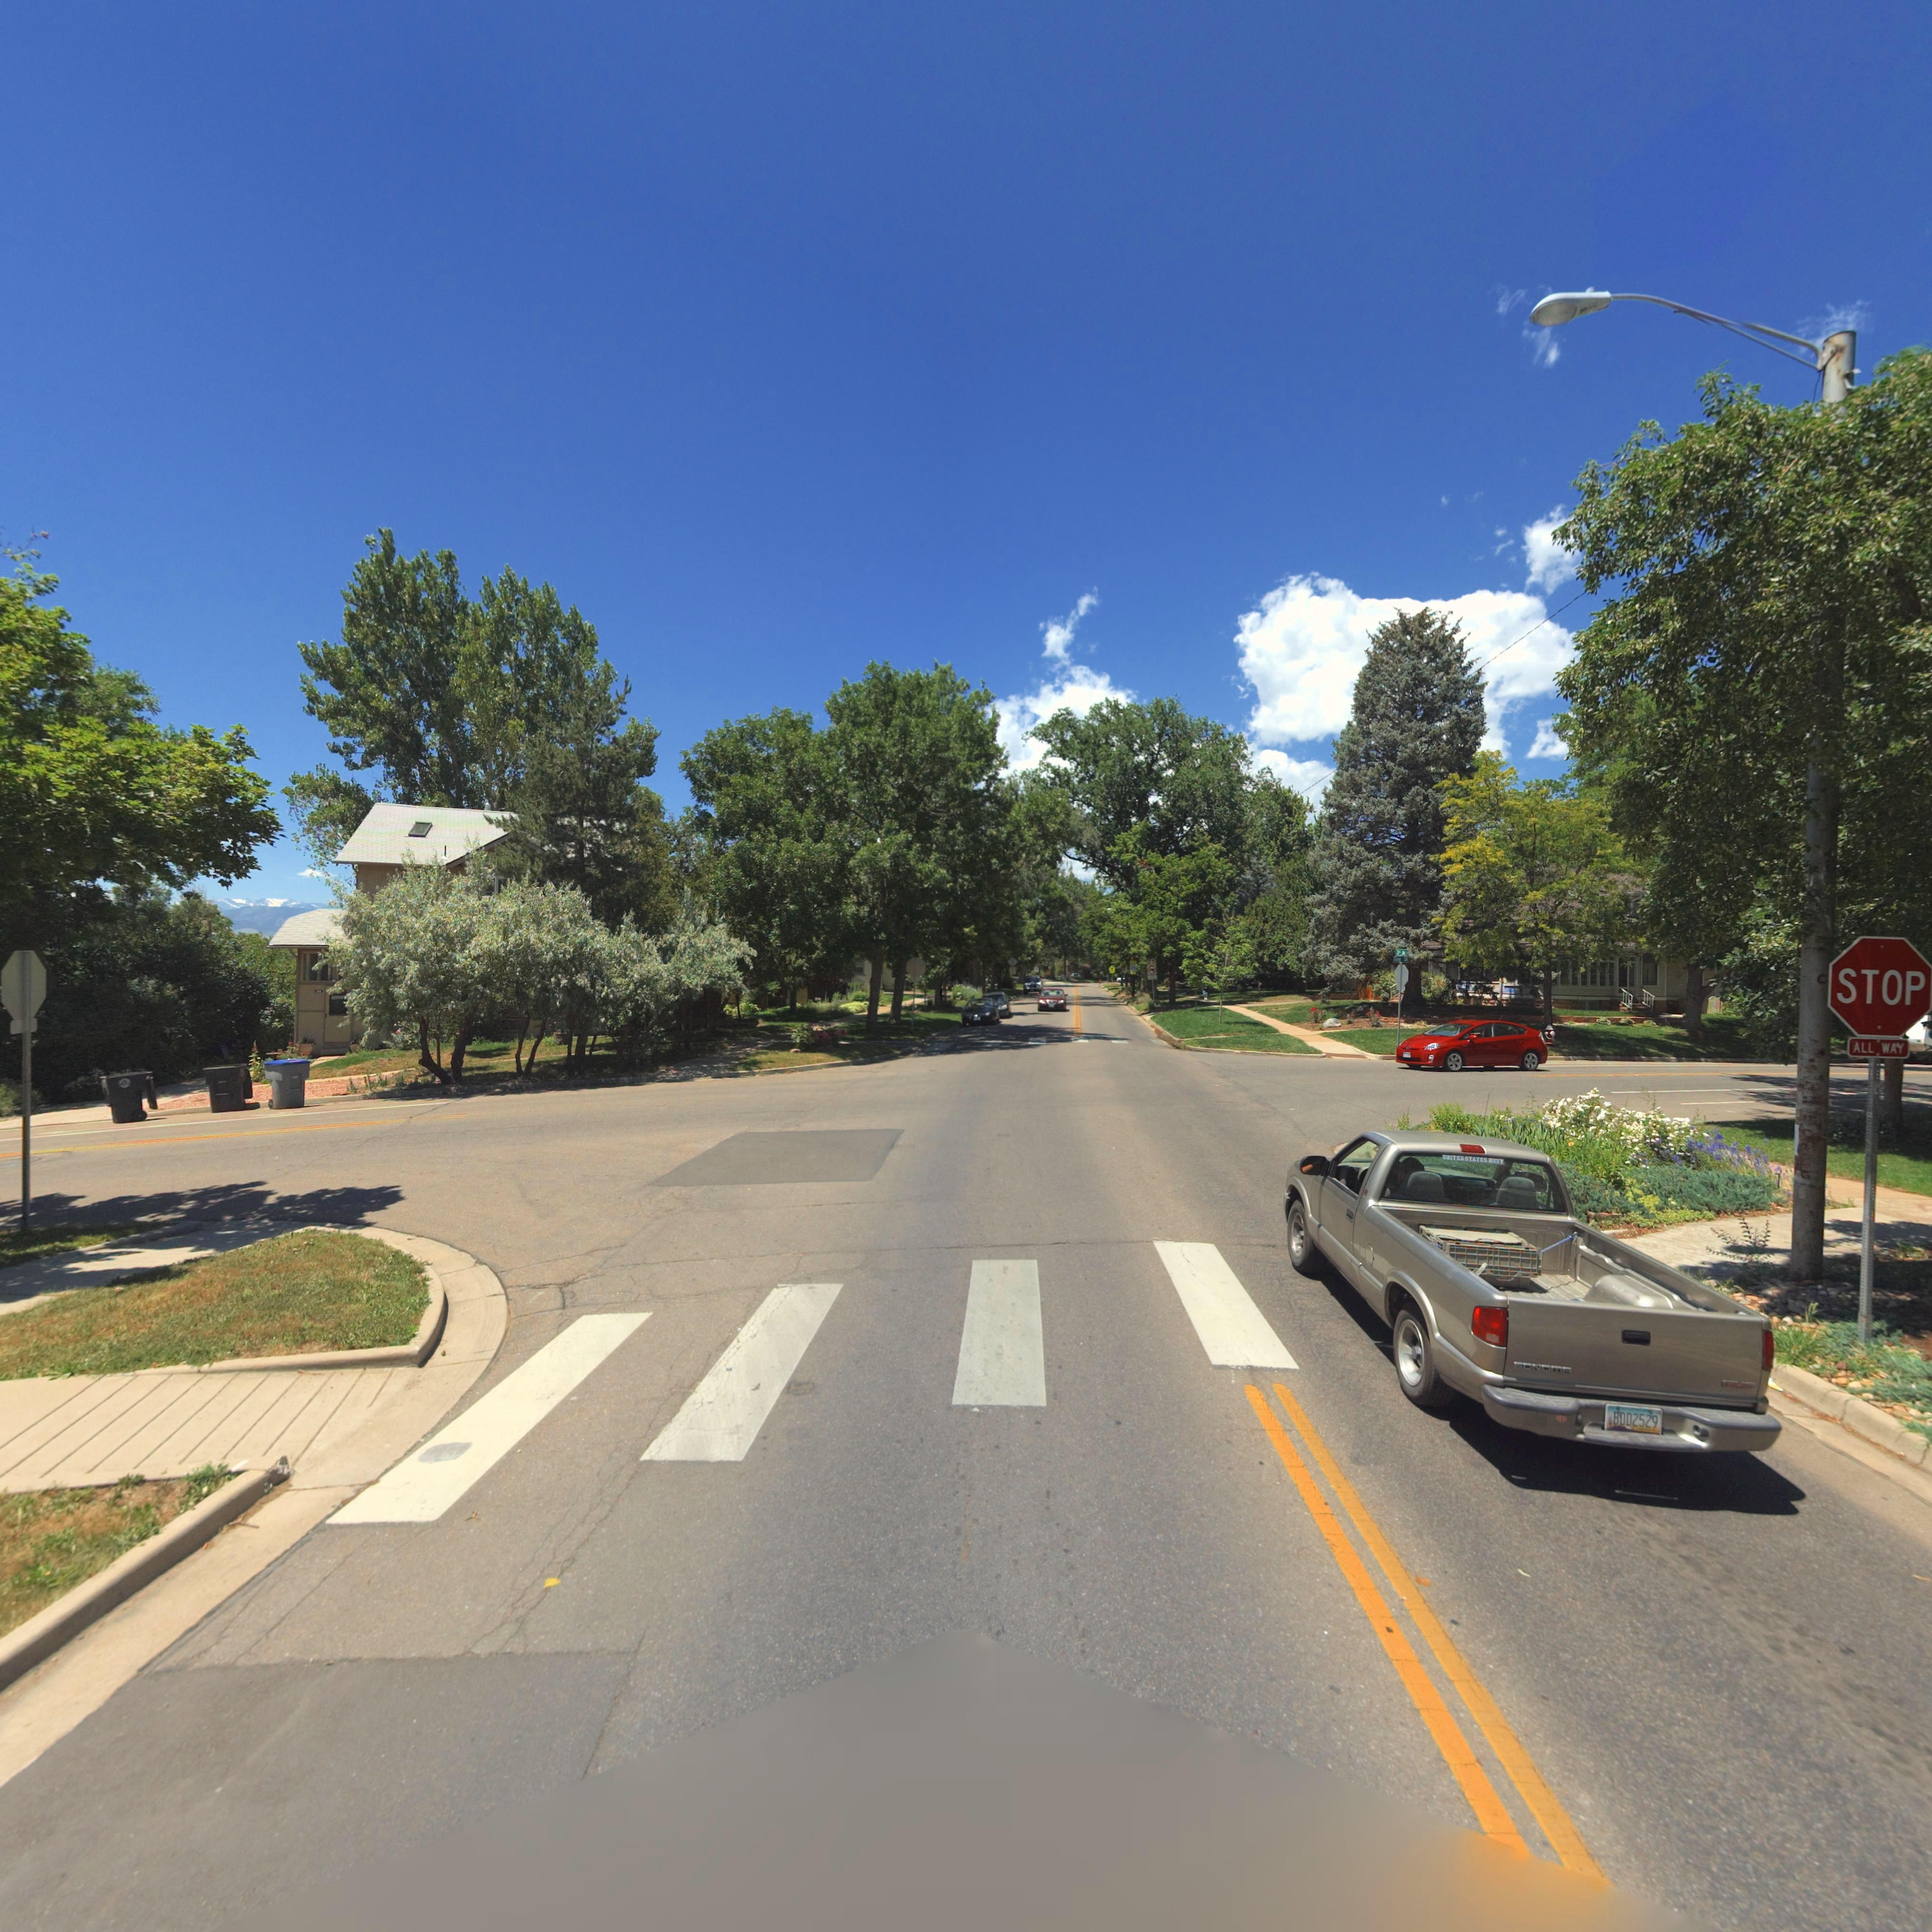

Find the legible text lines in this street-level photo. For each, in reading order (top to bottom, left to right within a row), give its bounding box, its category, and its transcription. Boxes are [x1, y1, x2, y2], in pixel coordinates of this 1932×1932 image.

[1396, 950, 1405, 955] StreetName: 2** **
[1393, 956, 1408, 962] StreetName: Ga* S*